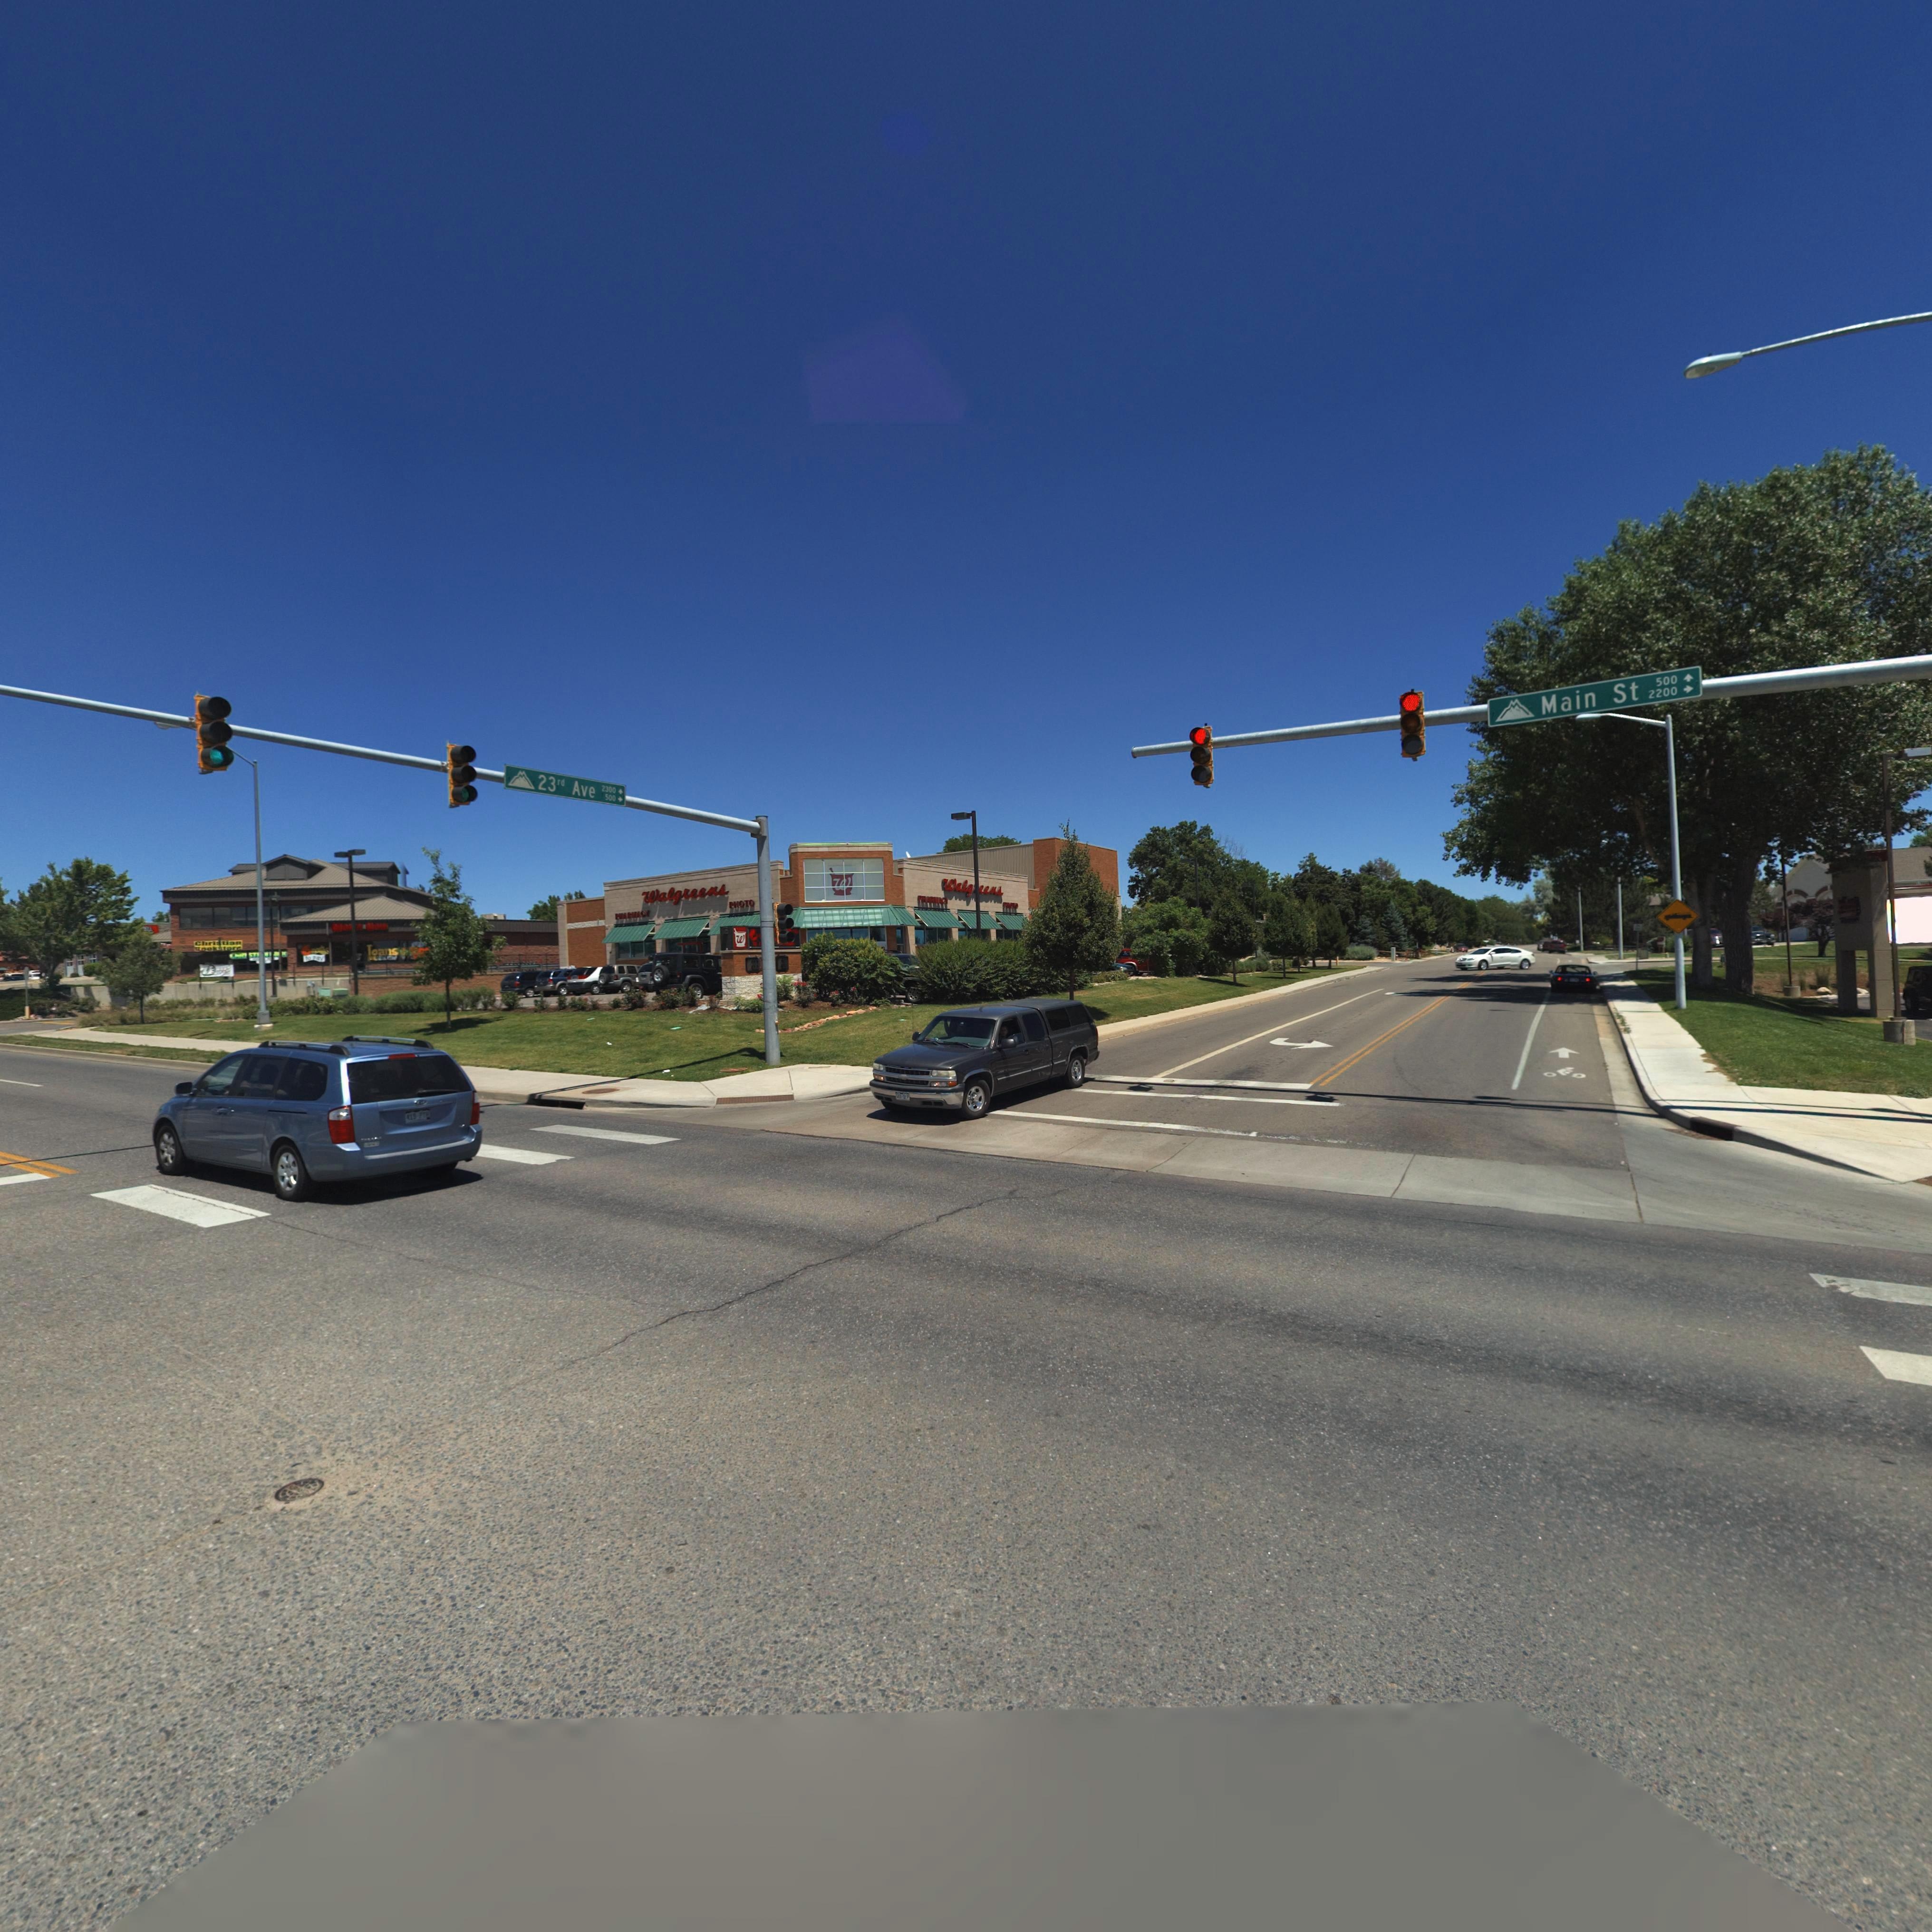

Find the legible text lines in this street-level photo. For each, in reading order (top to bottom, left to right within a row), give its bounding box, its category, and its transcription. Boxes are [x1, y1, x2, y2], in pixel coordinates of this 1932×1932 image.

[1655, 674, 1678, 687] StreetNumberRange: 500
[1540, 680, 1639, 715] StreetName: Main St
[1648, 684, 1695, 699] StreetNumberRange: 2200->
[537, 773, 596, 798] StreetName: 23rd Ave
[601, 785, 616, 793] StreetNumberRange: 2300
[604, 793, 624, 802] StreetNumberRange: 500->
[640, 883, 730, 905] BusinessName: Walgreens
[941, 878, 1005, 898] BusinessName: Walg*eens
[331, 922, 387, 932] BusinessName: MO**Y NOW